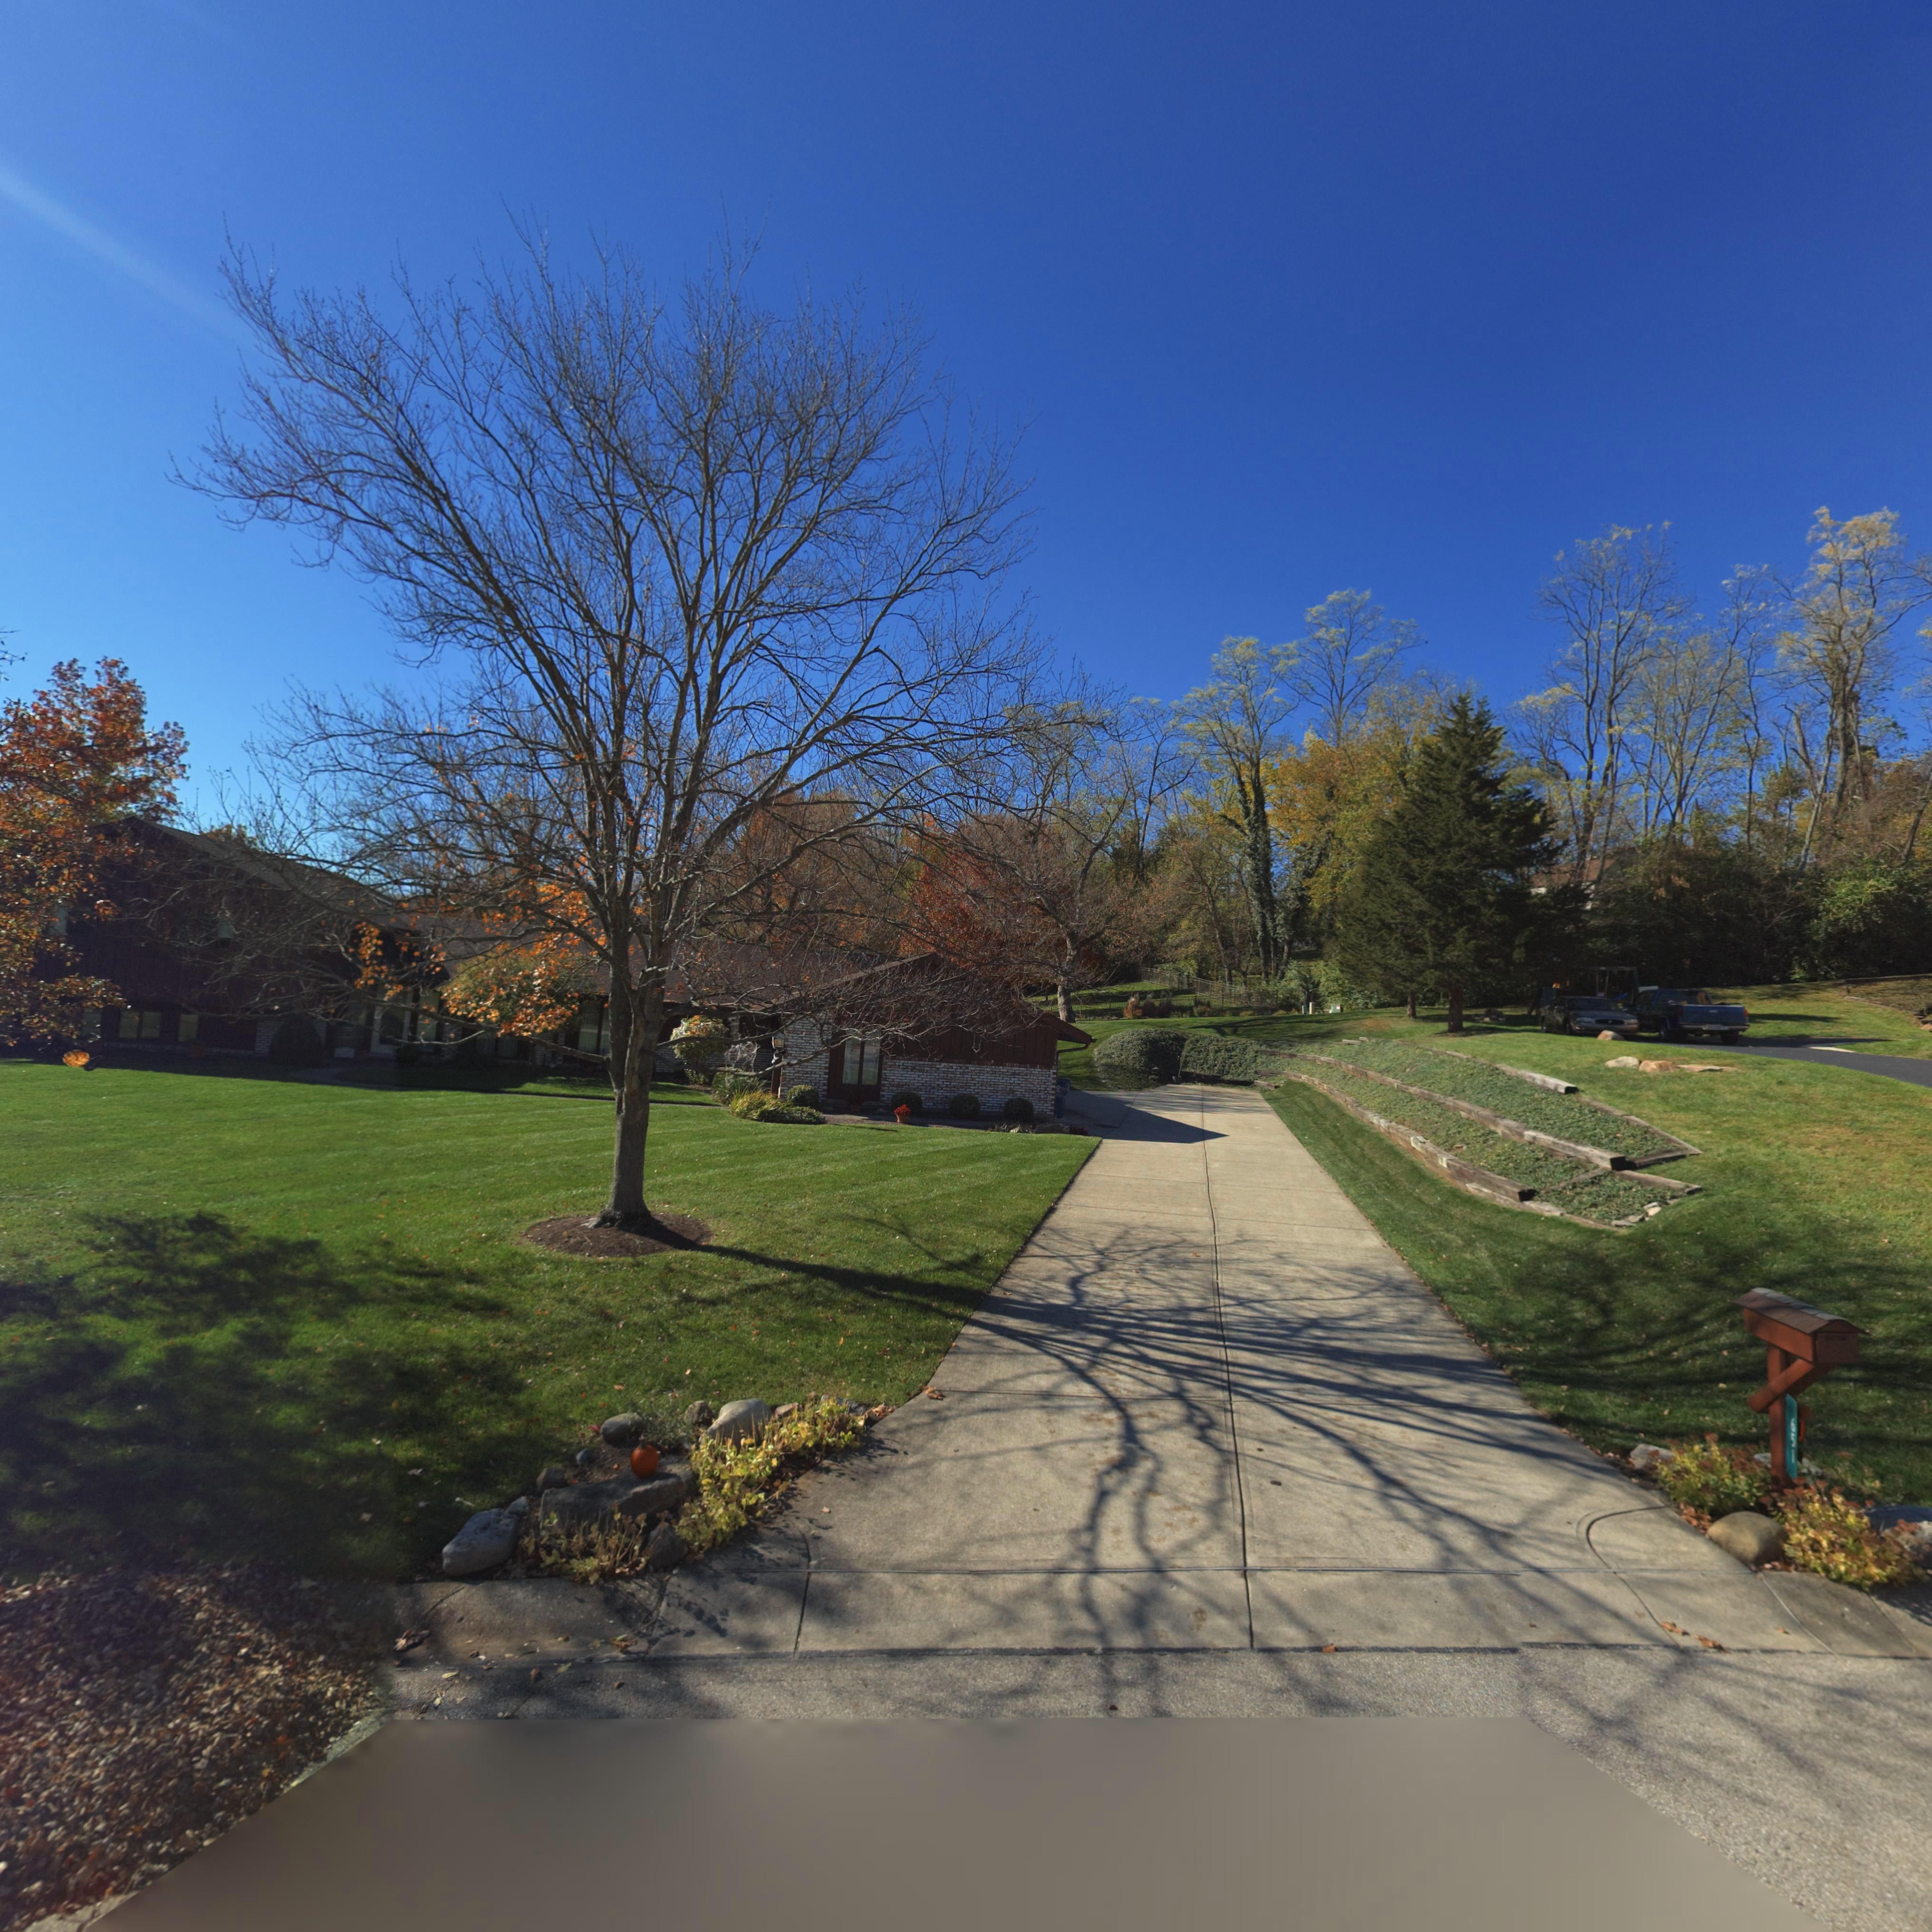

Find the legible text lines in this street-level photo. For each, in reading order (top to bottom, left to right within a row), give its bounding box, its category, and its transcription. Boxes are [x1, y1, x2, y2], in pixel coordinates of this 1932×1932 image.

[1789, 1415, 1797, 1464] StreetNumber: 651